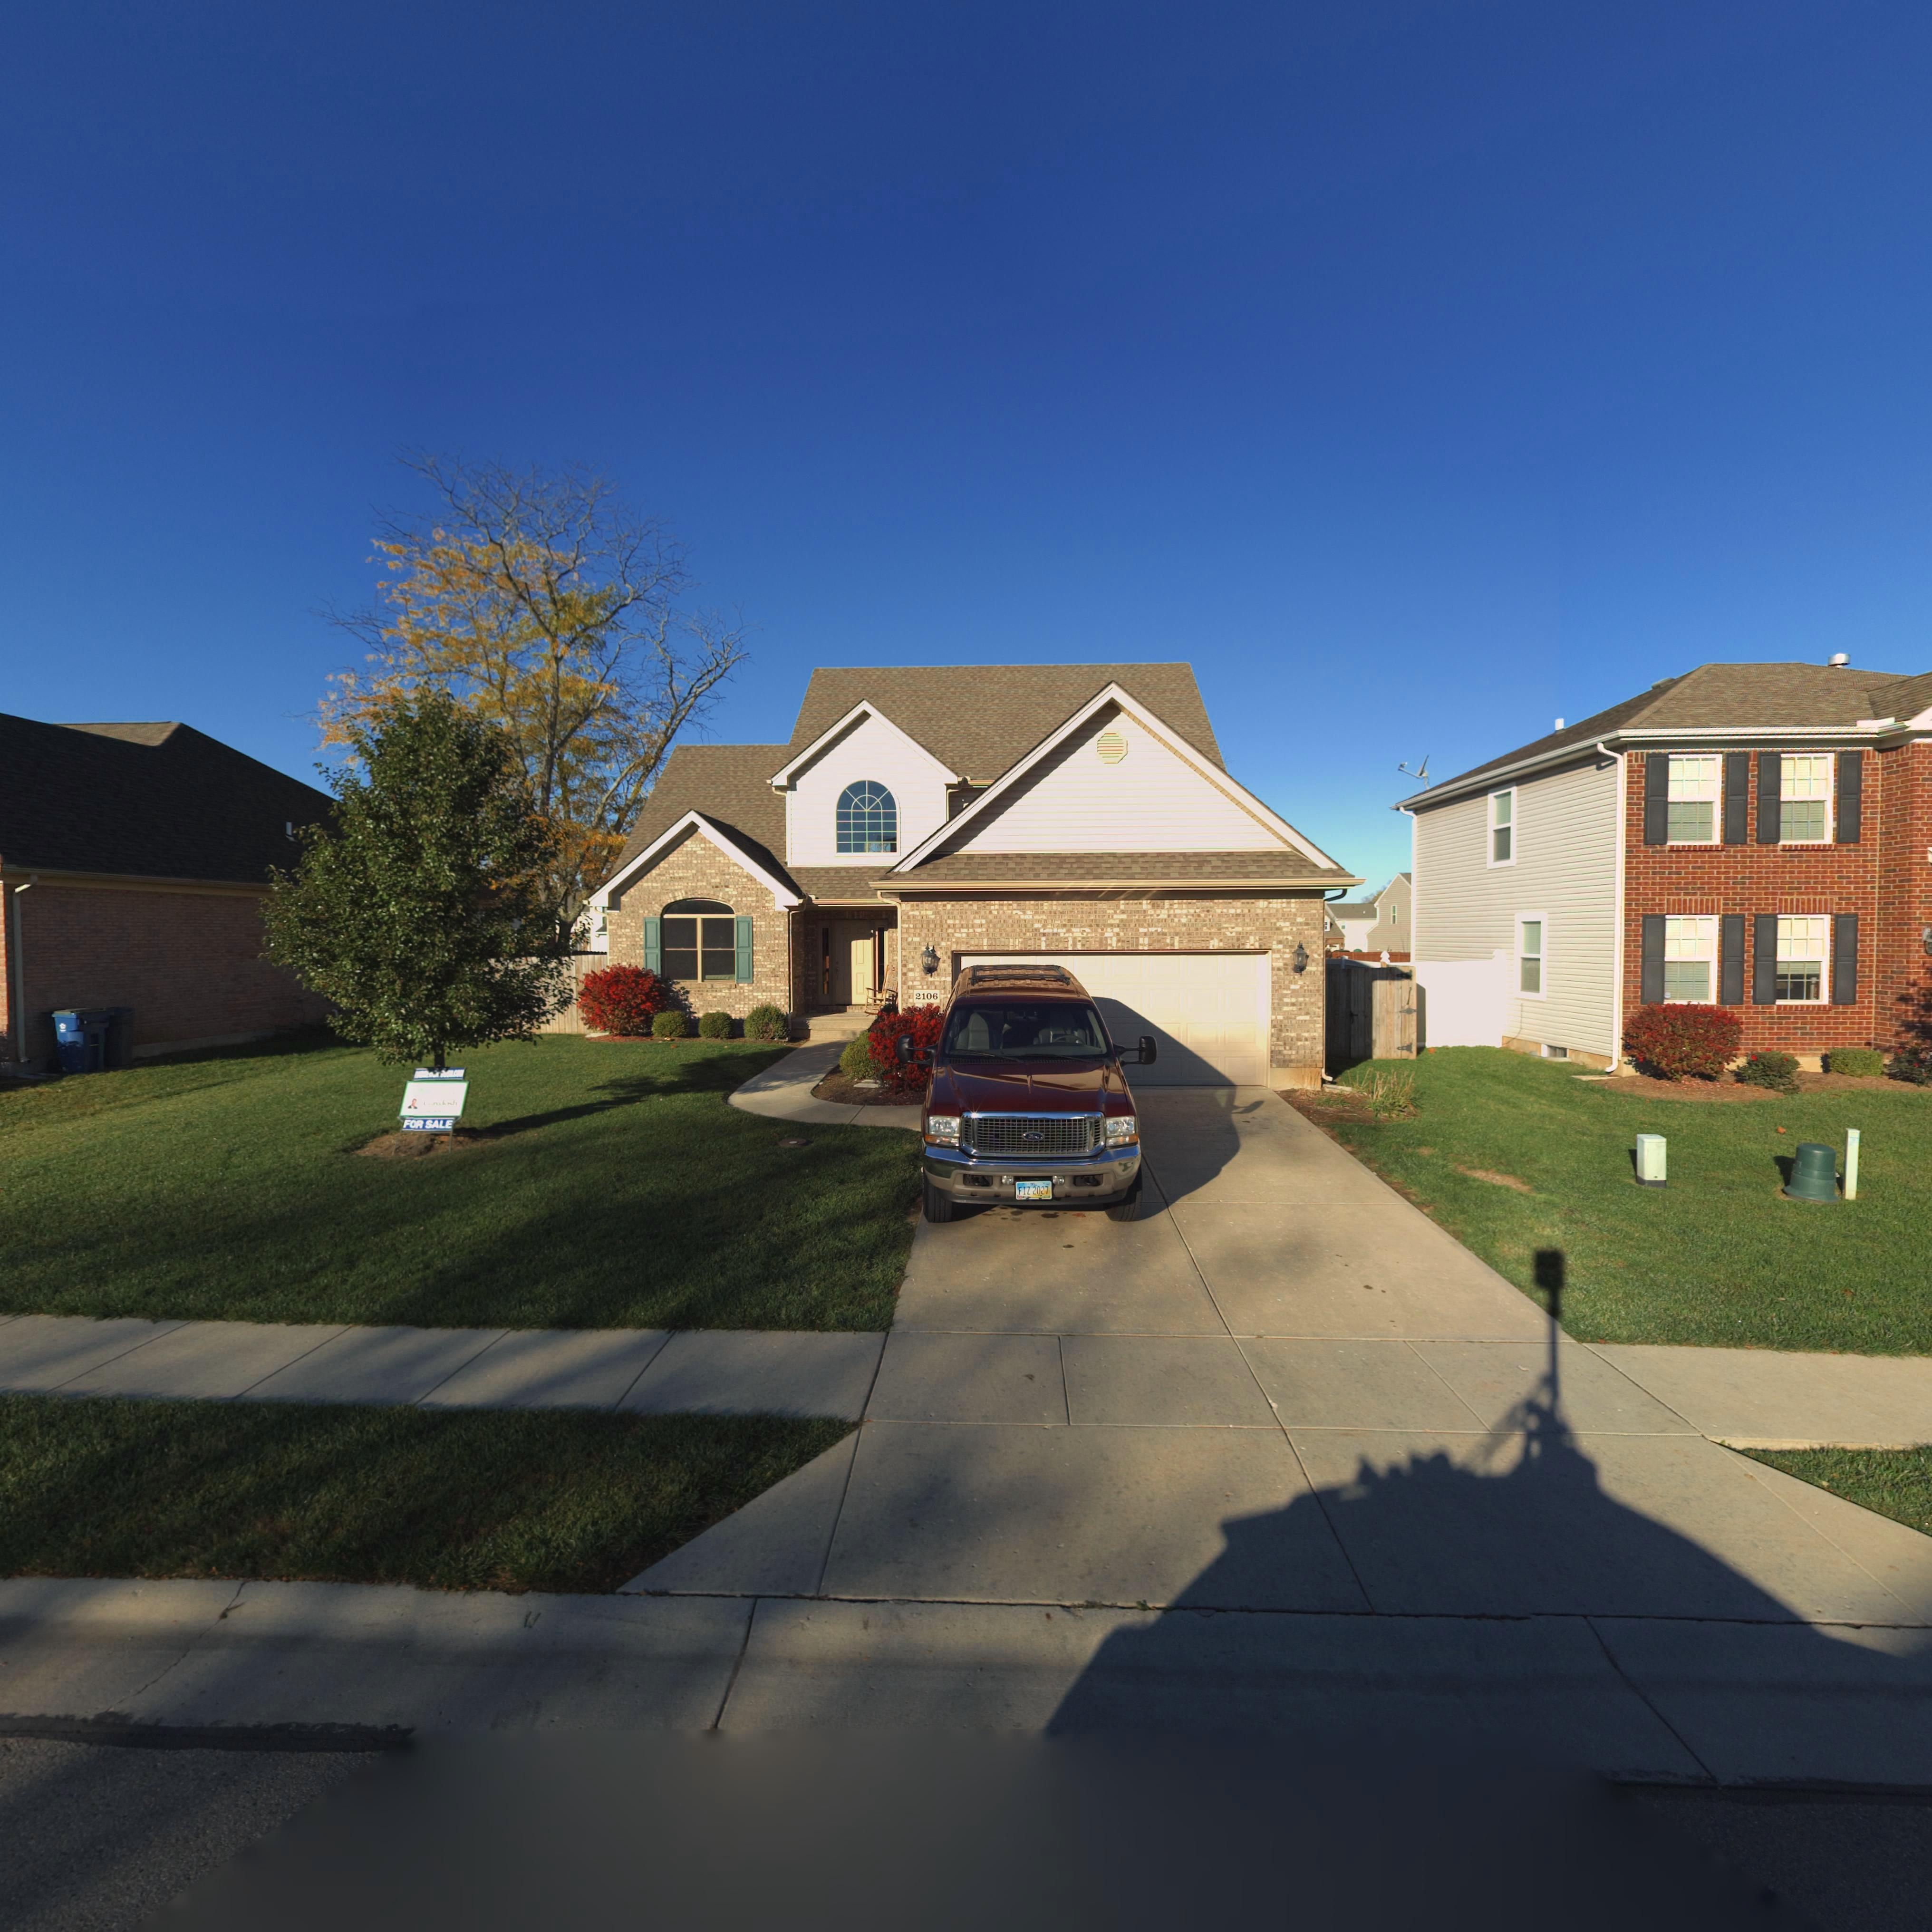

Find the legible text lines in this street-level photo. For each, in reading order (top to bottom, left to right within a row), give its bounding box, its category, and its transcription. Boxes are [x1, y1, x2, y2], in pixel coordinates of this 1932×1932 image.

[915, 992, 938, 1000] StreetNumber: 2106